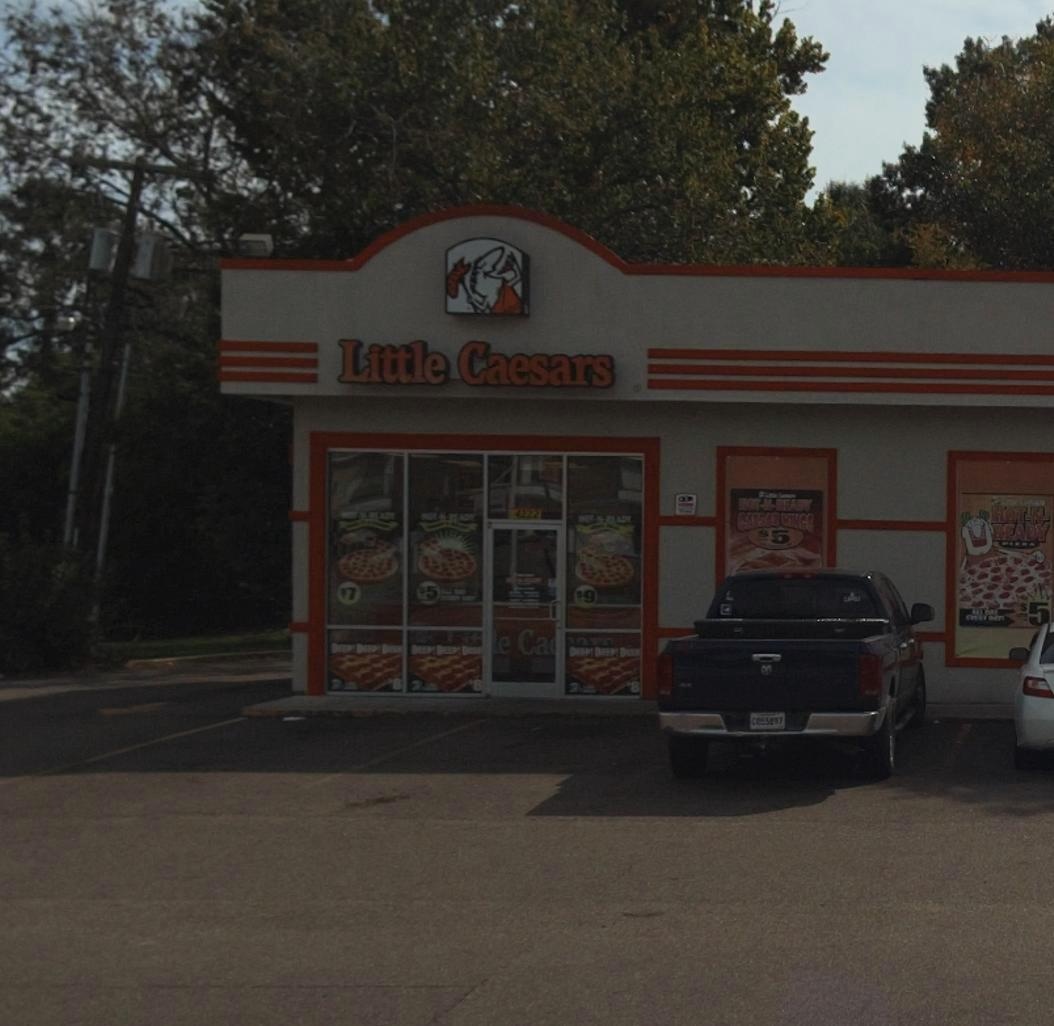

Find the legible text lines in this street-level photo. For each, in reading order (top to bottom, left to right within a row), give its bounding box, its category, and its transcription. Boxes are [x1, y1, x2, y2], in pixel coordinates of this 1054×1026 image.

[336, 336, 619, 390] BusinessName: Little Caesars
[736, 497, 813, 511] None: HOT-N-READY
[513, 507, 541, 521] StreetNumber: 4*22
[735, 511, 815, 532] None: CAESAR WINGS
[770, 528, 791, 545] None: 5
[345, 585, 358, 602] None: 7
[425, 584, 438, 600] None: 5
[582, 587, 596, 604] None: 9
[750, 714, 784, 727] None: C0****7